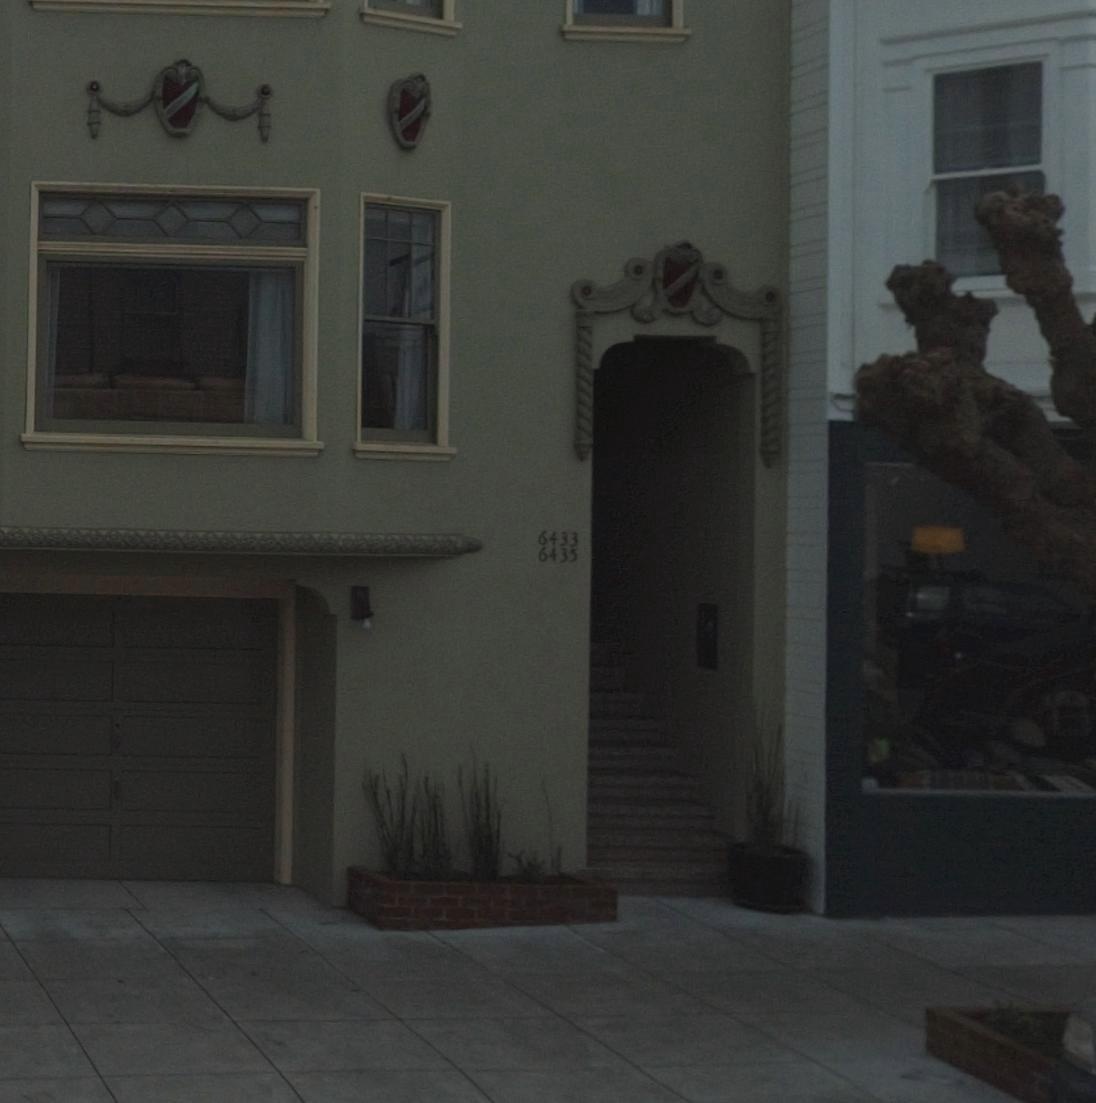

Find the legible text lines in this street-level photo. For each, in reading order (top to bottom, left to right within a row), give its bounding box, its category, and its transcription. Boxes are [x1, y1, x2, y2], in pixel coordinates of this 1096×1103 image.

[538, 530, 579, 549] StreetNumber: 6433
[537, 546, 578, 564] StreetNumber: 6435